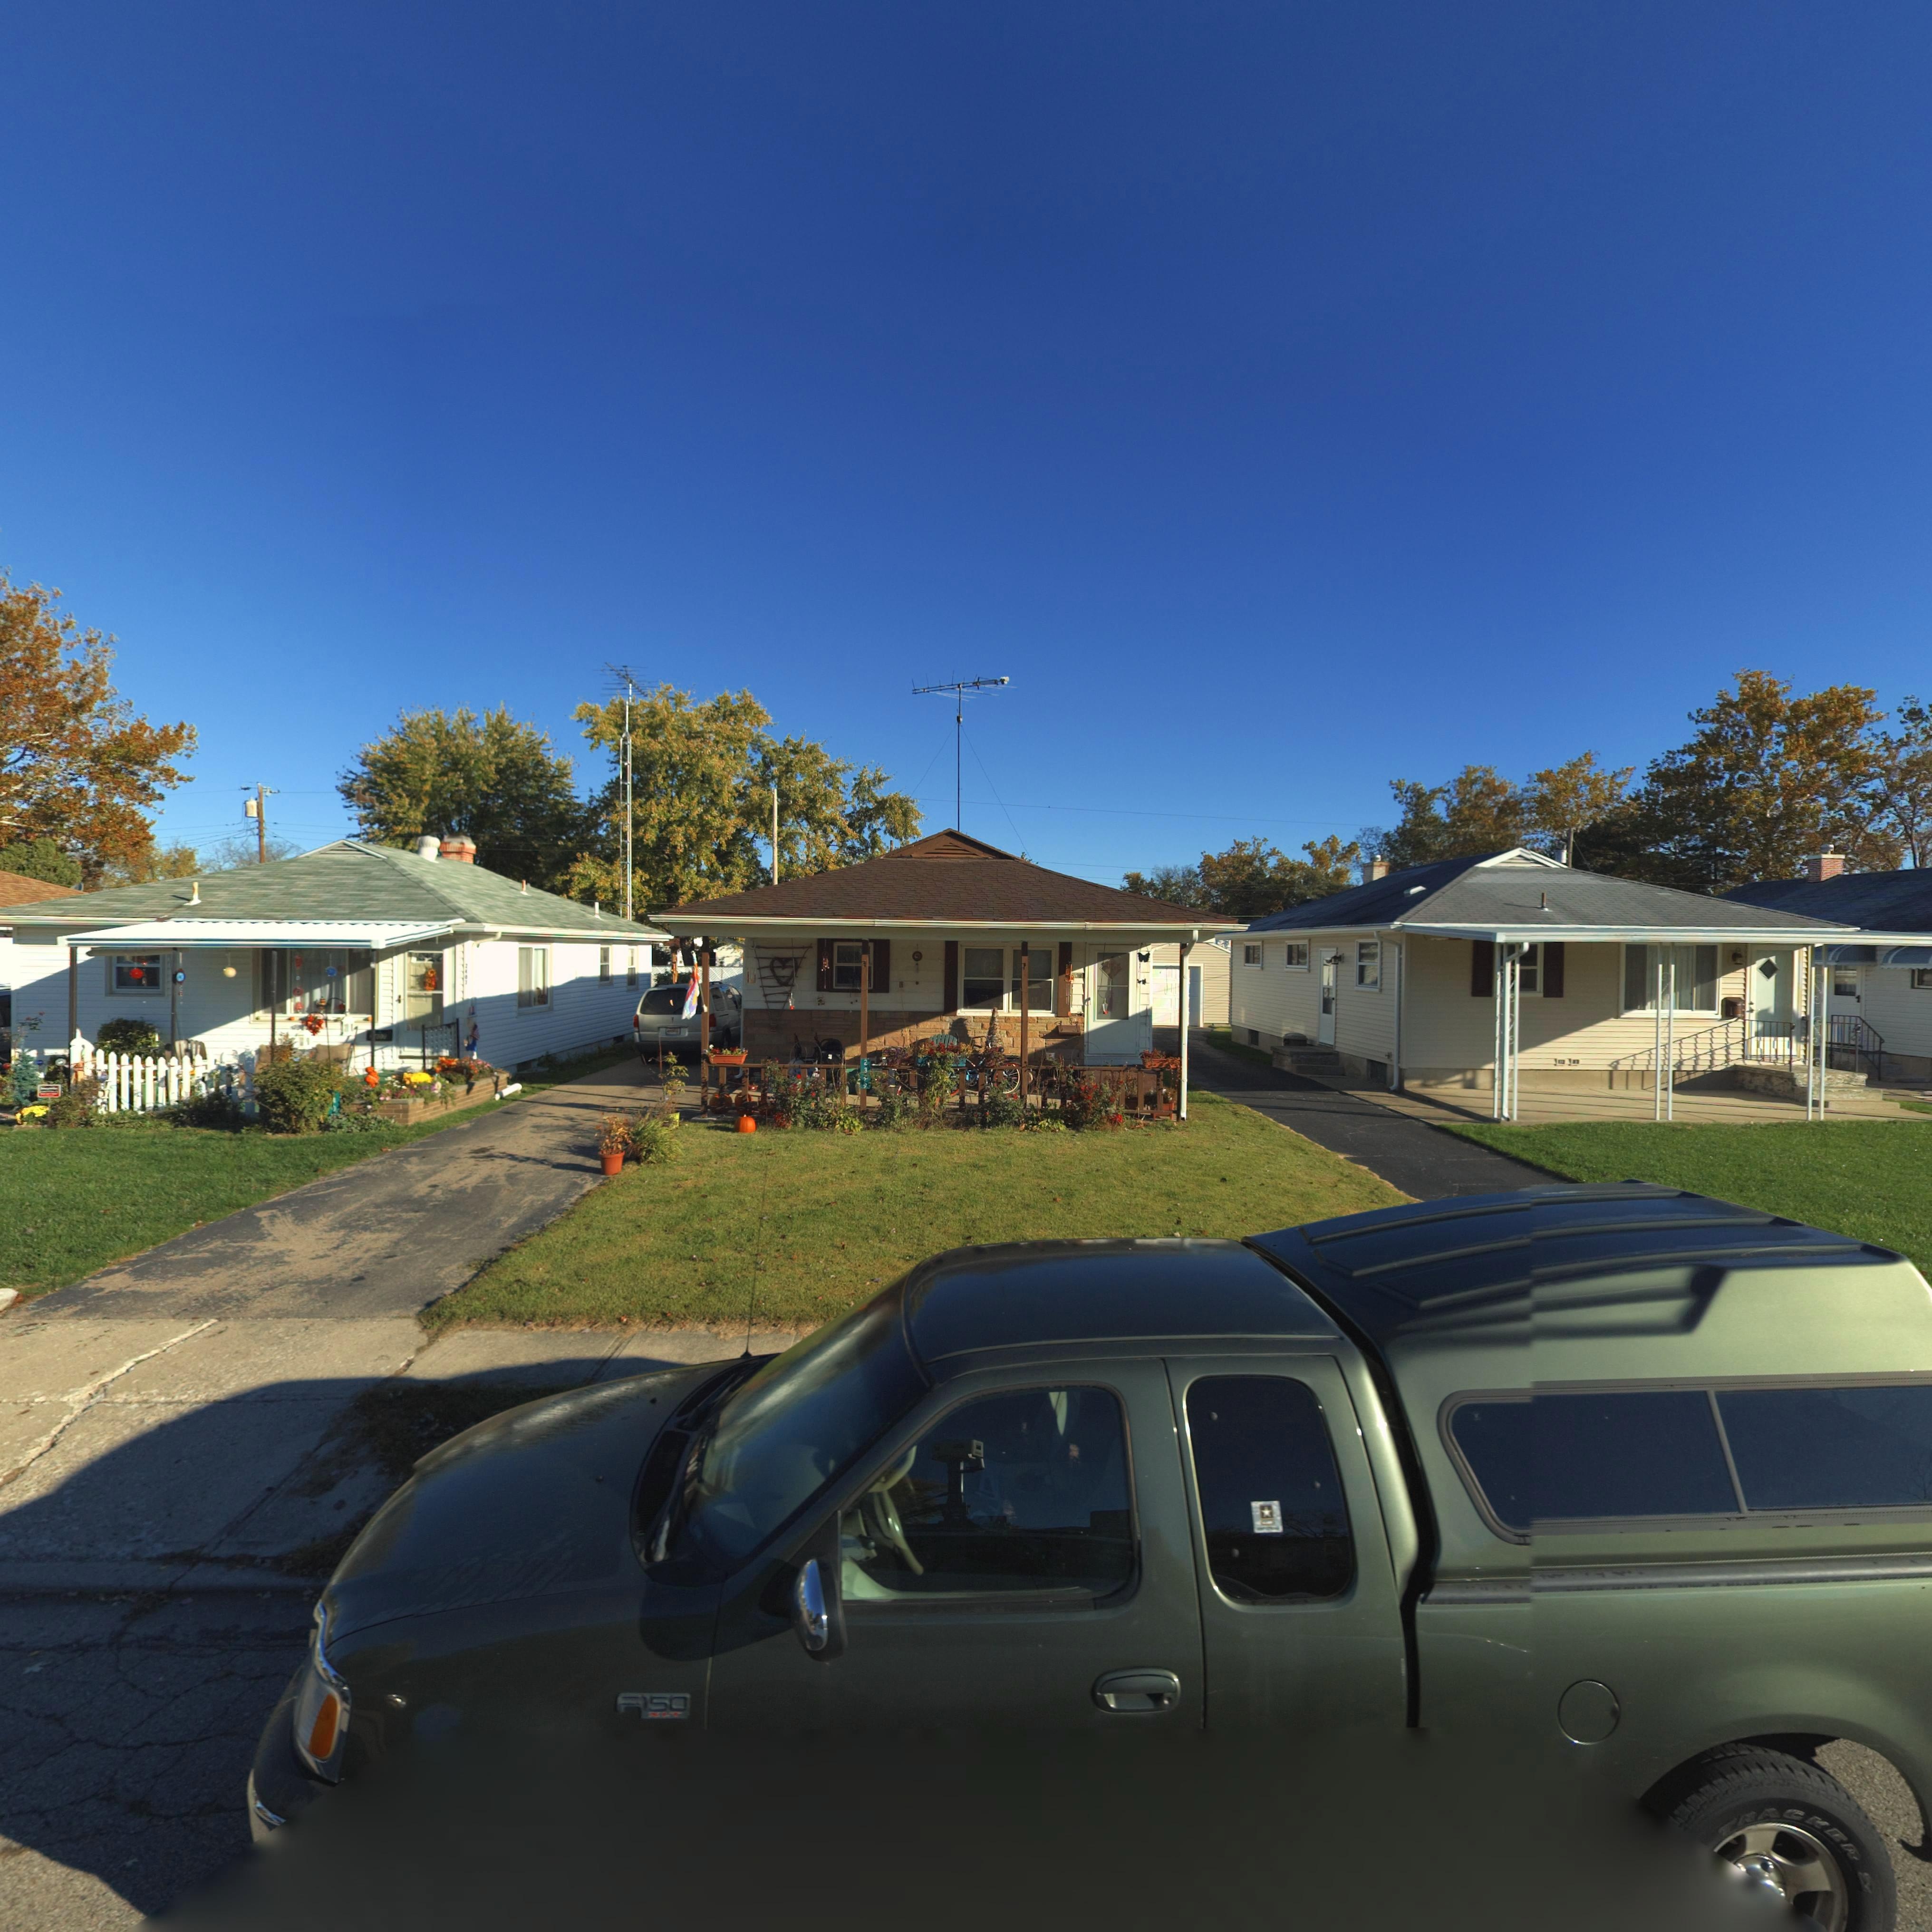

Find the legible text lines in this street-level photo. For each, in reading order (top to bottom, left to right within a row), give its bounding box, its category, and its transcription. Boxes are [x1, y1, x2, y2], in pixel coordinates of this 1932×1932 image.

[464, 963, 468, 985] StreetNumber: 2407
[1072, 973, 1084, 977] StreetNumber: 2399
[375, 1034, 386, 1039] StreetNumber: 407
[863, 1059, 868, 1089] StreetNumber: 2399